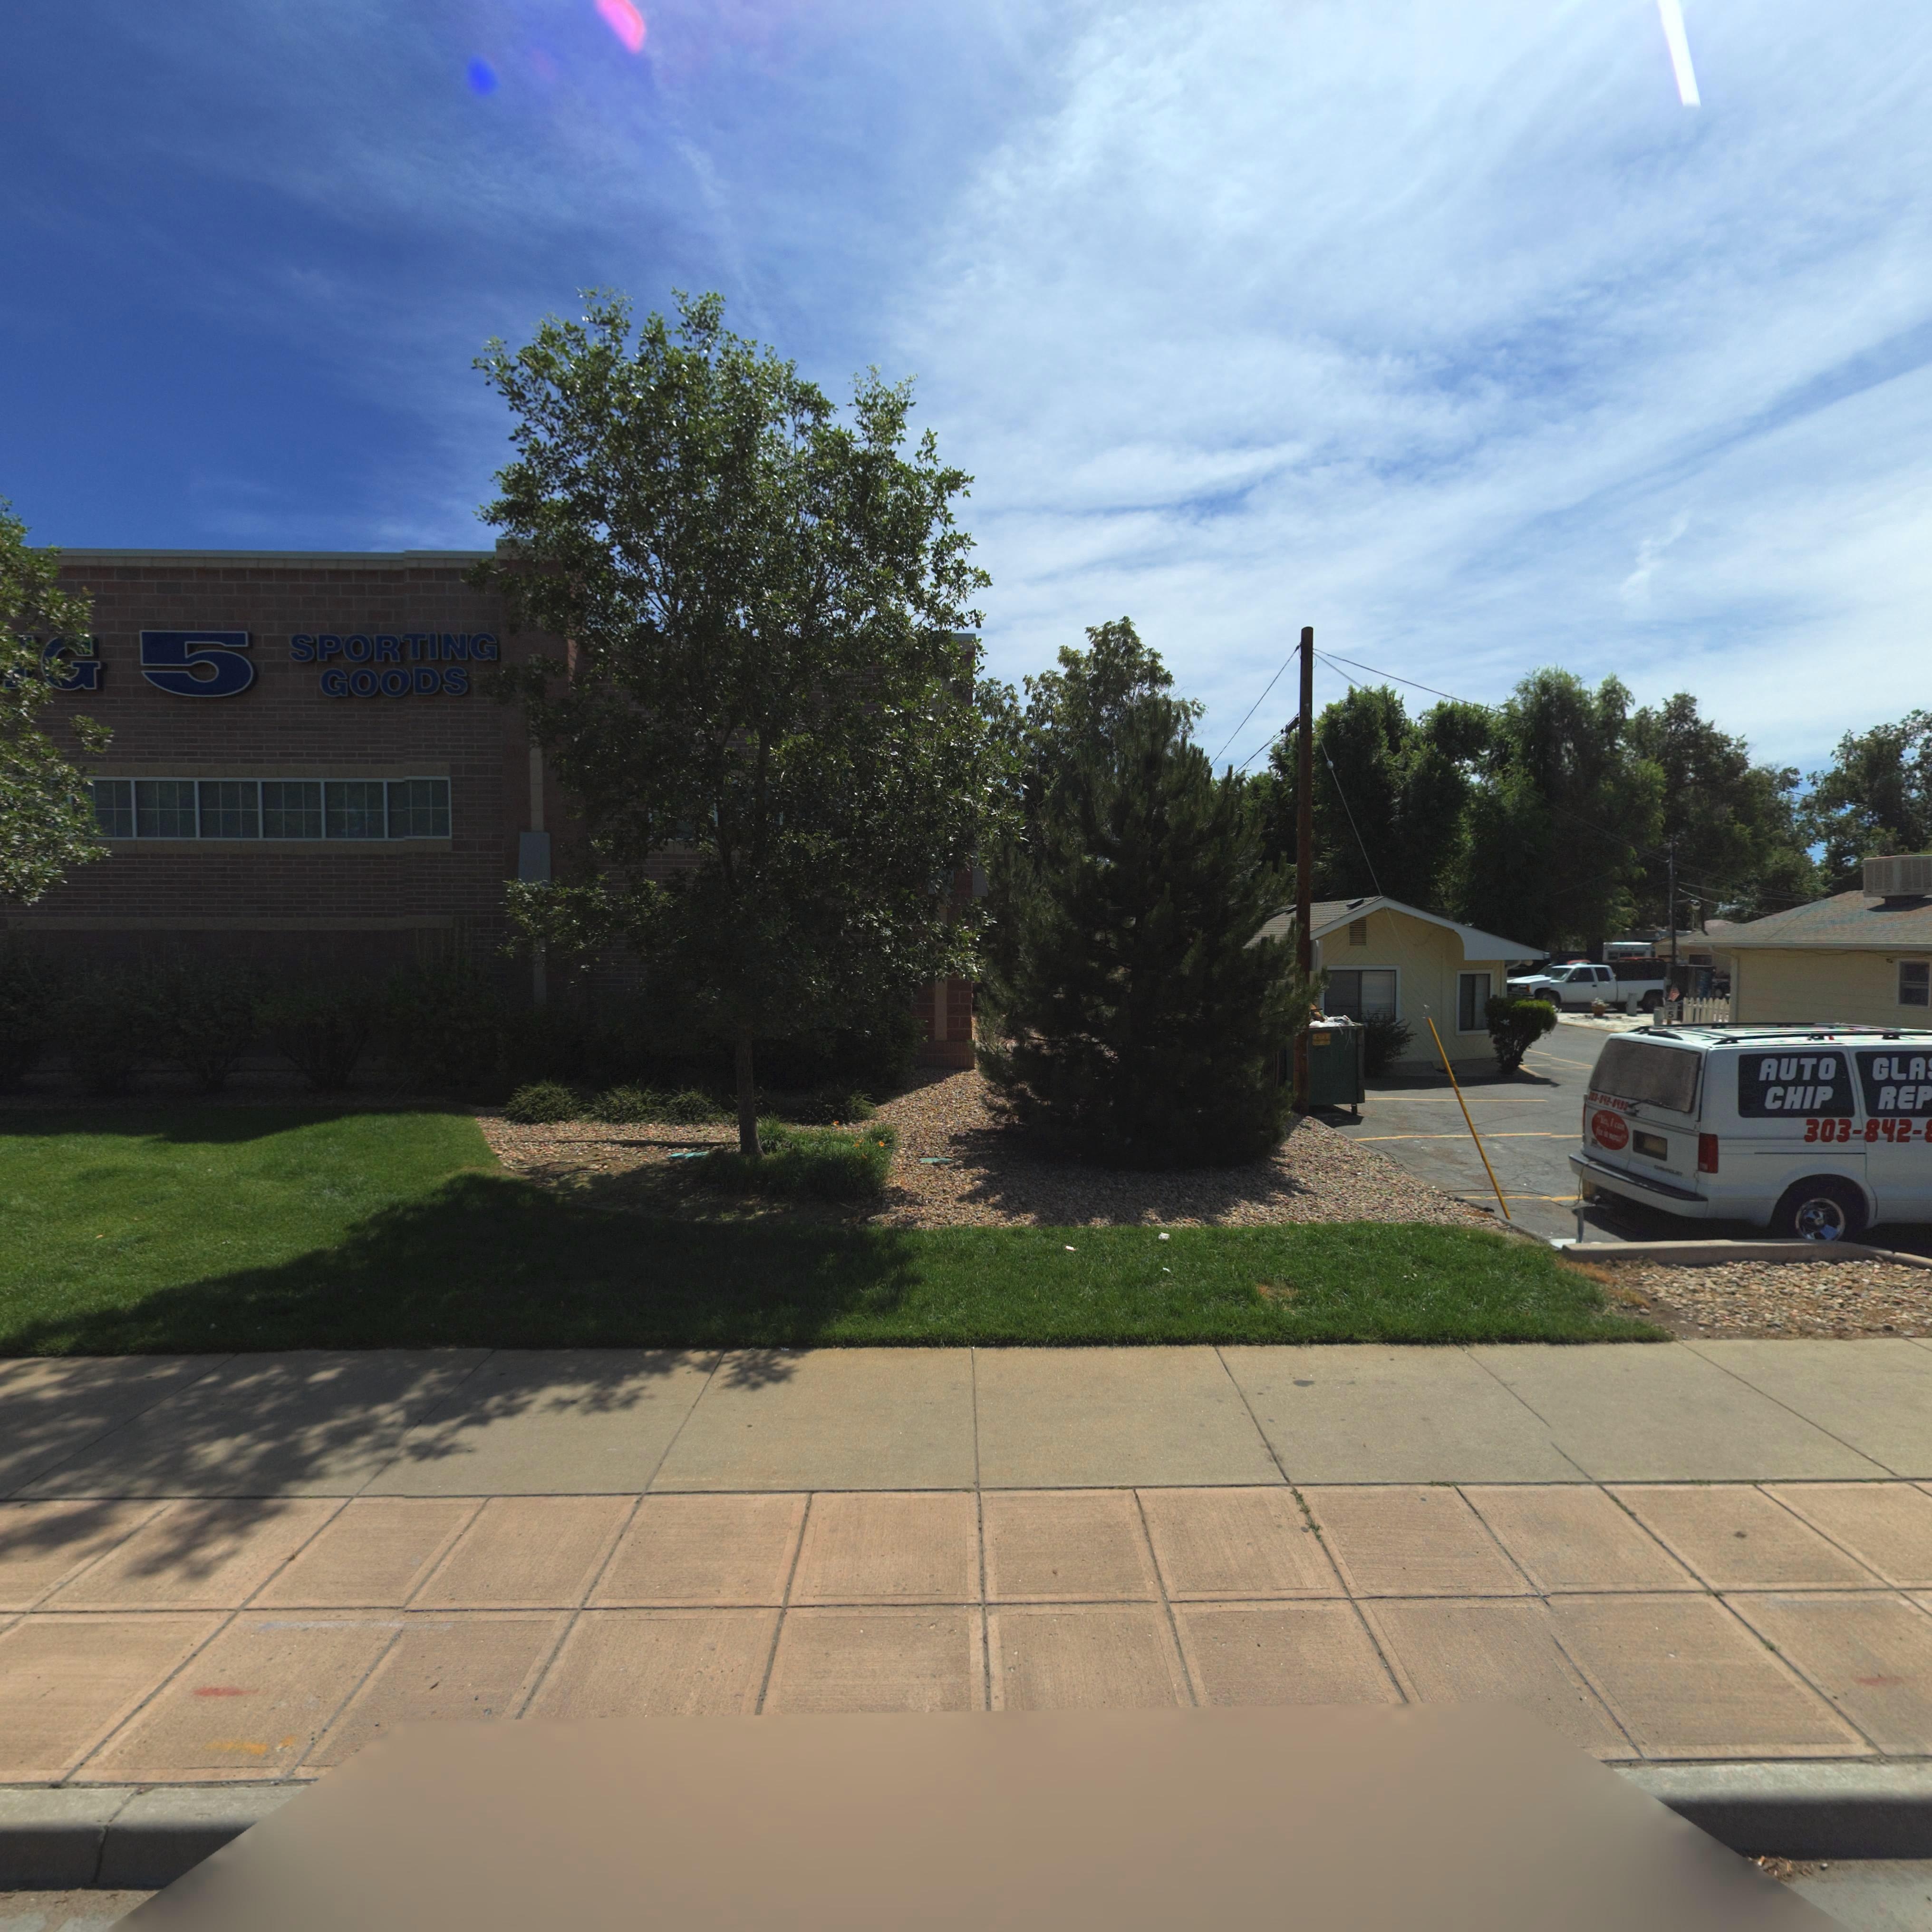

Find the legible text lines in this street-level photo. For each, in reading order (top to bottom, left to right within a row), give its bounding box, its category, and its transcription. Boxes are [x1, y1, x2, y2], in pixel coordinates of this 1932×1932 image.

[288, 630, 501, 663] BusinessName: SPORTING
[137, 628, 255, 699] BusinessName: 5
[318, 665, 469, 698] BusinessName: GOODS